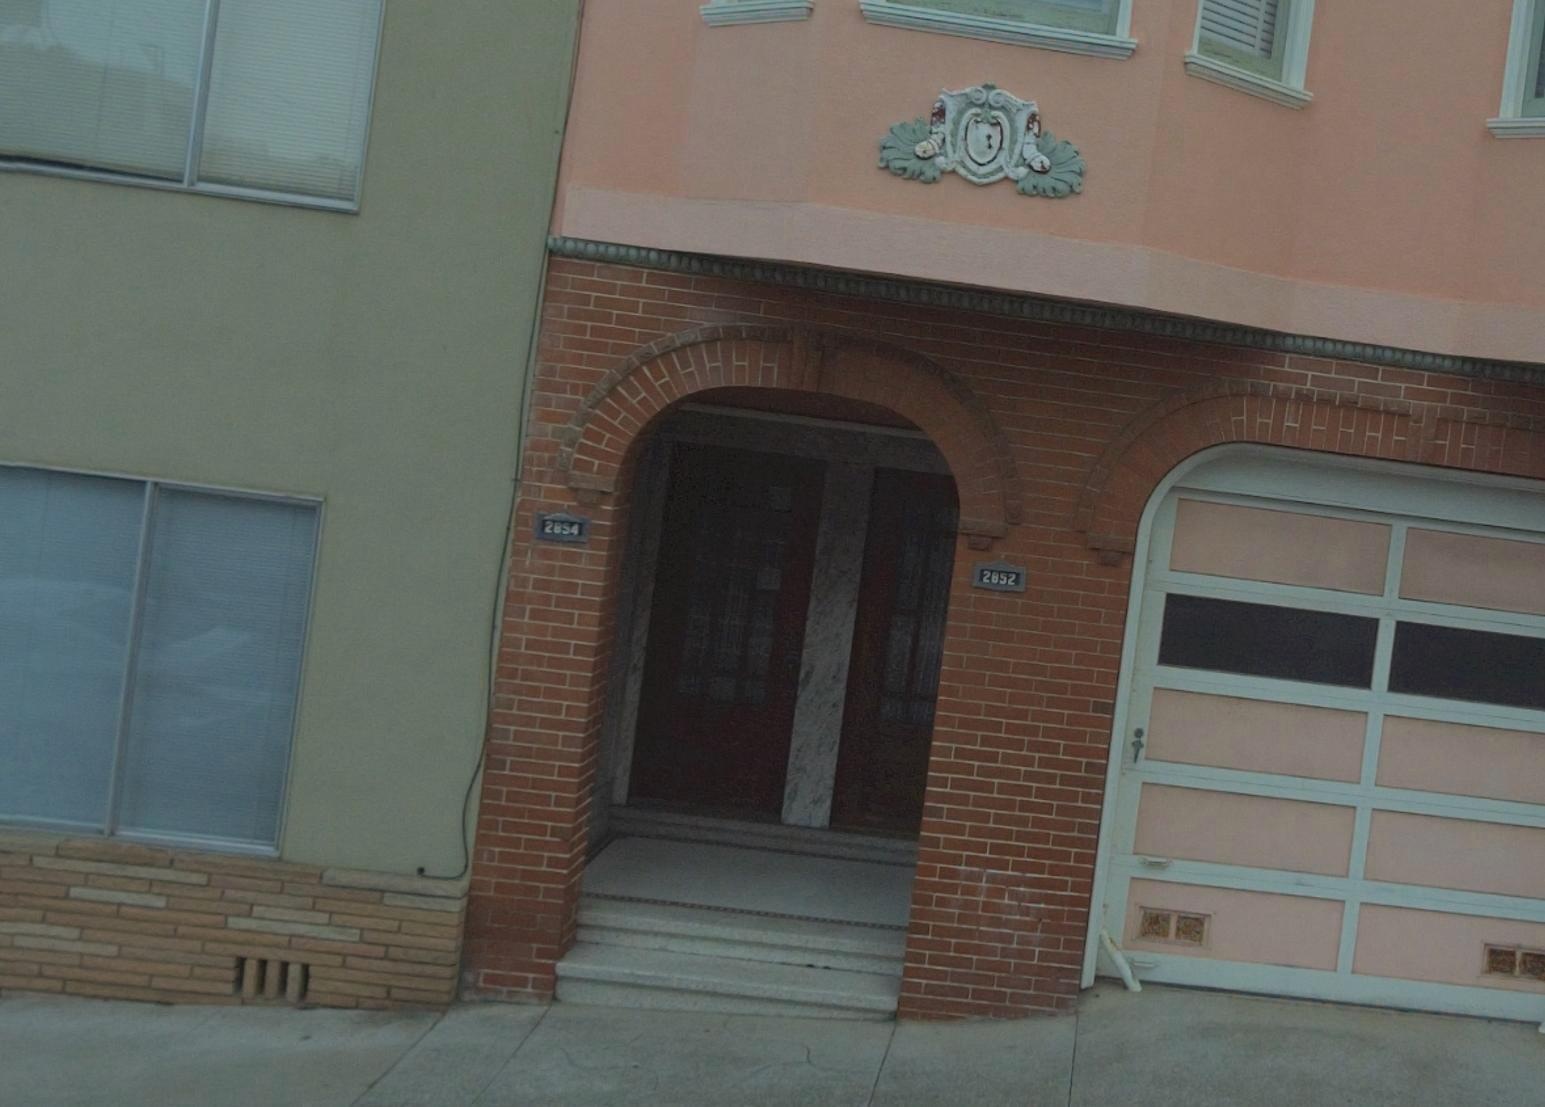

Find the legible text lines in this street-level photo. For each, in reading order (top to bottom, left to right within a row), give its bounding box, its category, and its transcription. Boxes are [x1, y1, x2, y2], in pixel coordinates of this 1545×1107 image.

[541, 518, 582, 539] StreetNumber: 2854
[980, 567, 1018, 588] StreetNumber: 2852